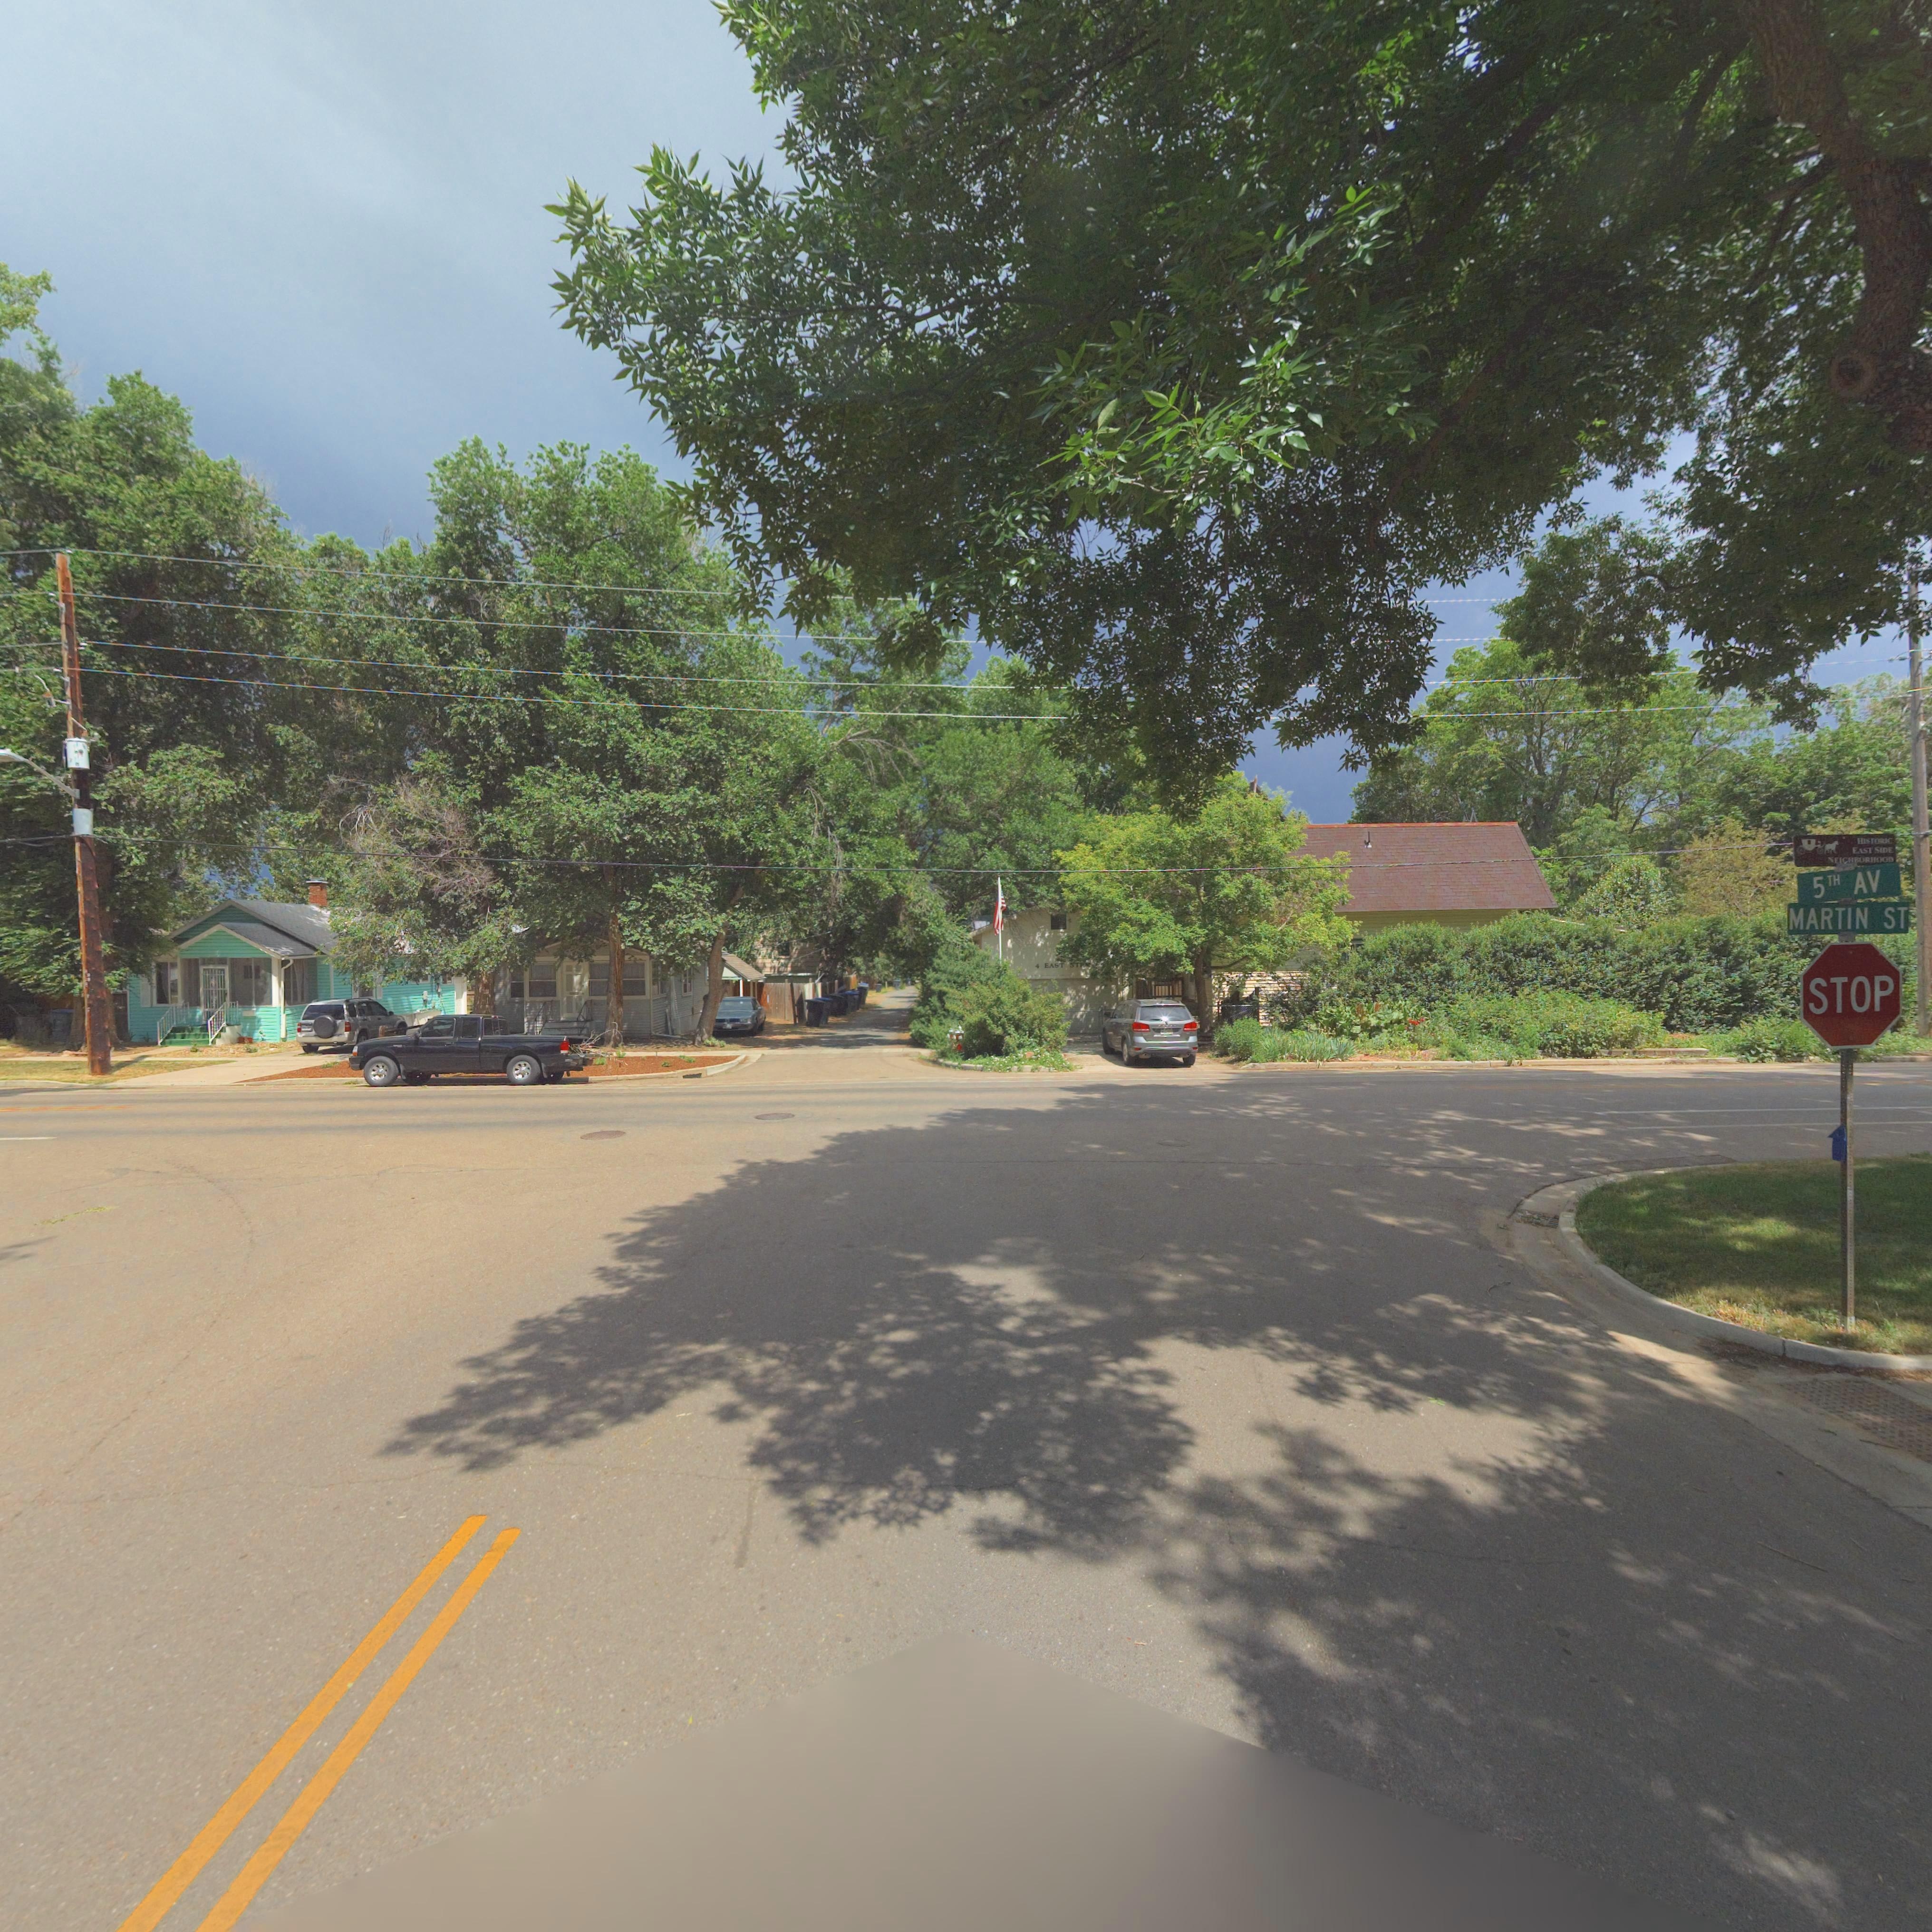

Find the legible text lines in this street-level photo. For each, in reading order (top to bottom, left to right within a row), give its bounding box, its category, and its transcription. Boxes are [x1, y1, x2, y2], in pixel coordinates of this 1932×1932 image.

[1813, 869, 1880, 898] StreetName: 5TH AV
[1789, 907, 1908, 929] StreetName: MARTIN ST
[1035, 963, 1039, 968] StreetNumber: 4
[1044, 962, 1085, 968] StreetName: EAST 5TH